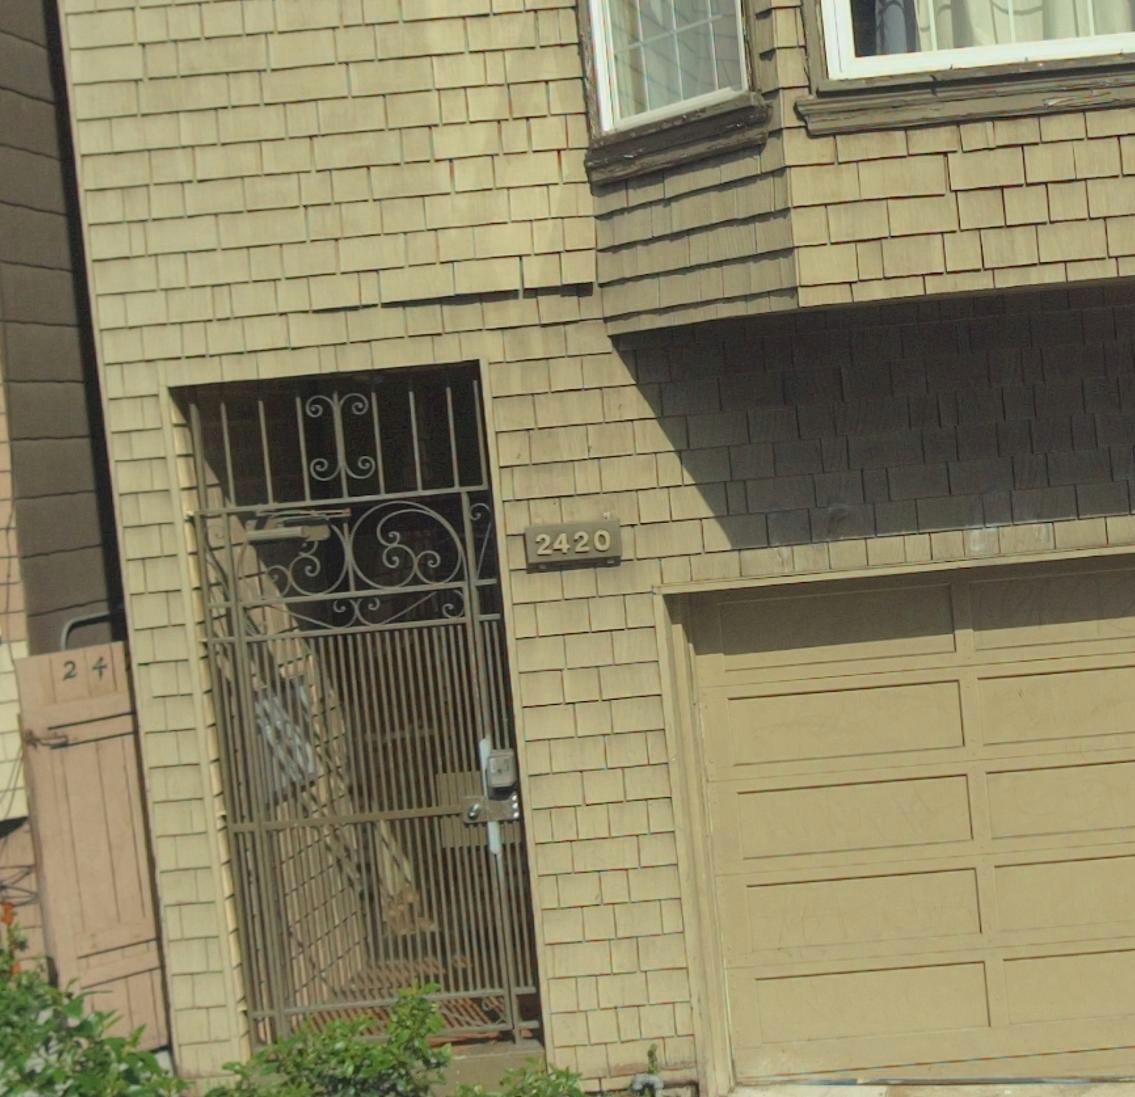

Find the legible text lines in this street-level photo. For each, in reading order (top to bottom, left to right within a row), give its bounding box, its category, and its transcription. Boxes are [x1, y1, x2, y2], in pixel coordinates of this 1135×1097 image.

[532, 527, 613, 558] StreetNumber: 2420
[58, 652, 111, 685] None: 24